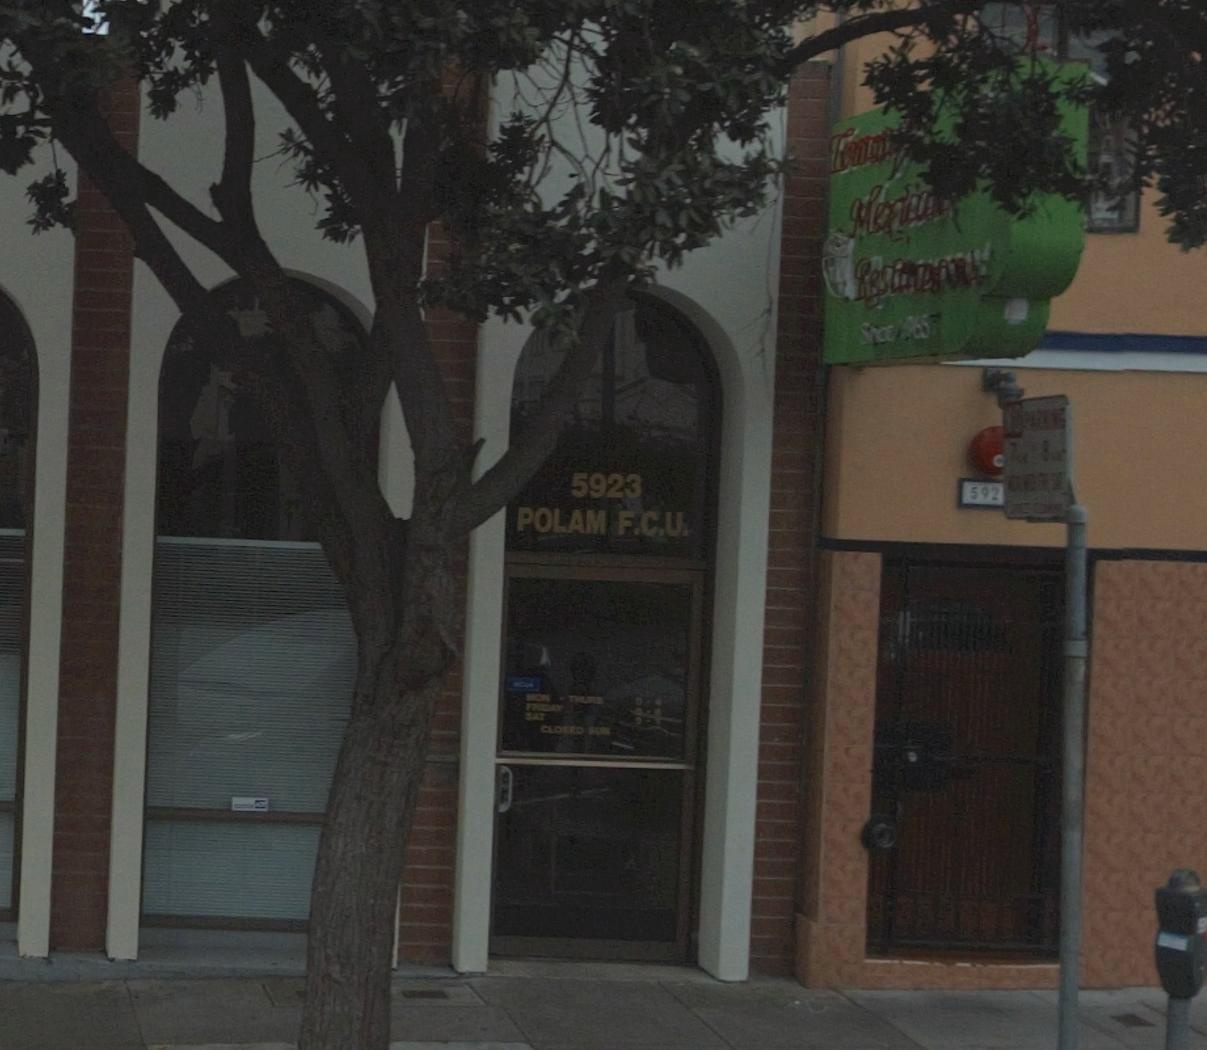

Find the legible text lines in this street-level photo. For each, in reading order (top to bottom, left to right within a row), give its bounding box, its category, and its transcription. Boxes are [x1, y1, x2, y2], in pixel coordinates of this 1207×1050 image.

[1006, 439, 1019, 464] None: 7
[1040, 436, 1053, 464] None: 8
[569, 469, 645, 502] StreetNumber: 5923
[968, 483, 1003, 503] StreetNumber: 592
[514, 504, 692, 539] BusinessName: POLAM F.C.U.
[524, 691, 606, 707] None: *O* - T****
[538, 722, 587, 738] None: CLO**D